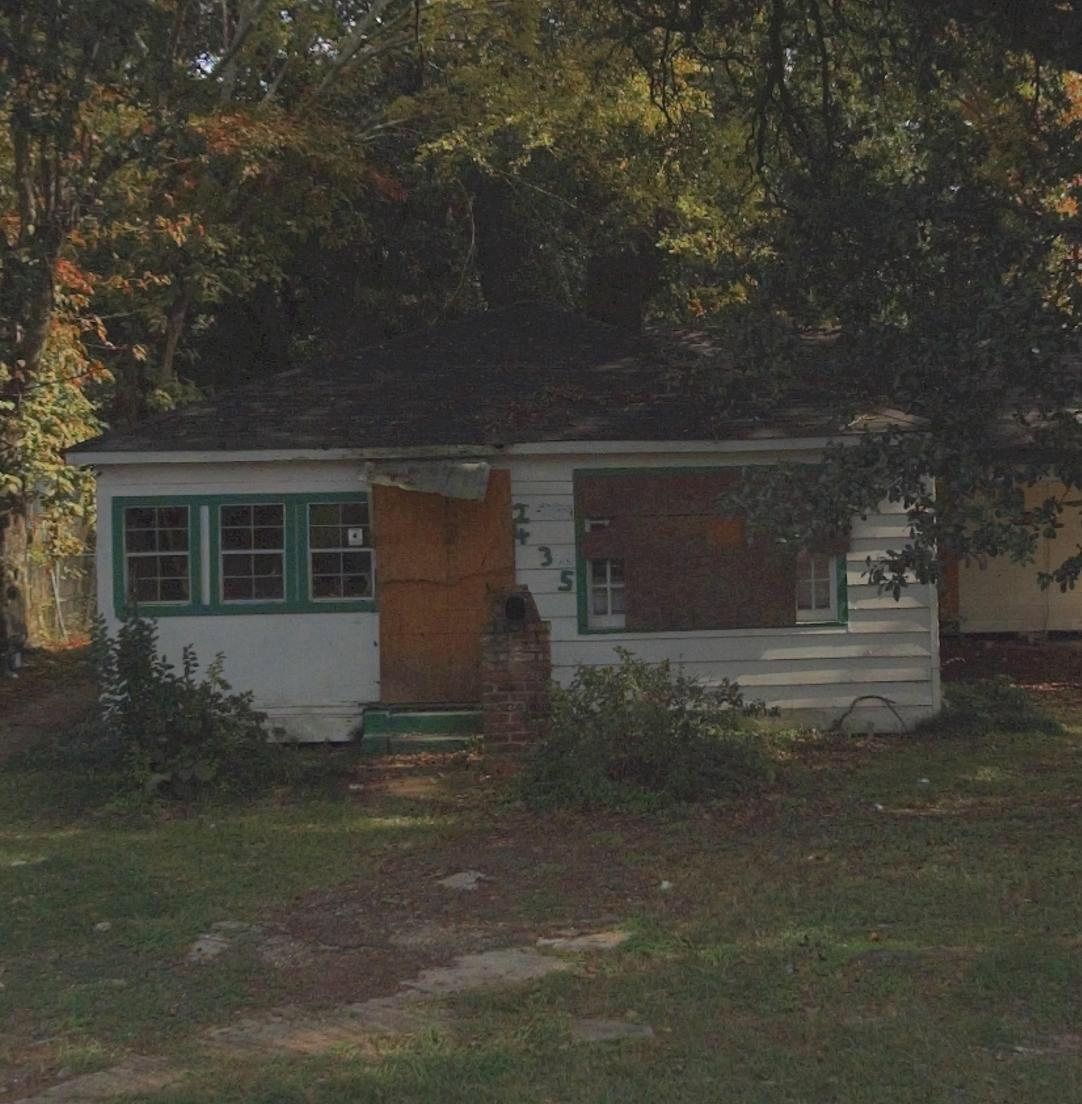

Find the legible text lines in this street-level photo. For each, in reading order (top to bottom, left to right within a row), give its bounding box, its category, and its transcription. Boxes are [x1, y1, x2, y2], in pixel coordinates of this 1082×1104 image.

[504, 500, 574, 593] StreetNumber: 2435